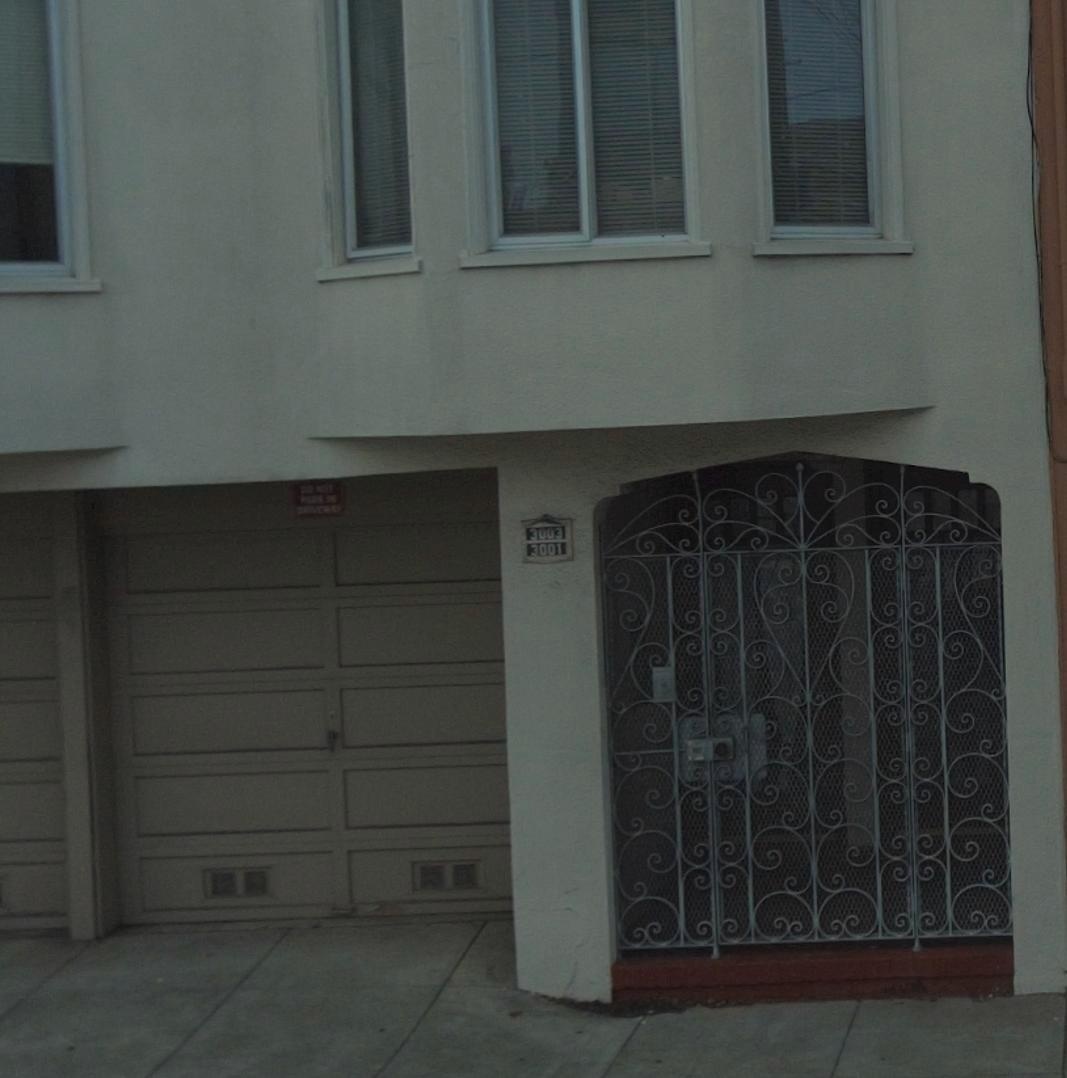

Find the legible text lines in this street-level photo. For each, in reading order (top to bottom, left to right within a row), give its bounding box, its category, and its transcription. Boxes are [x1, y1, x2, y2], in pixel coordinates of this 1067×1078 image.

[526, 525, 565, 543] StreetNumber: 3003
[528, 540, 565, 559] None: 3001